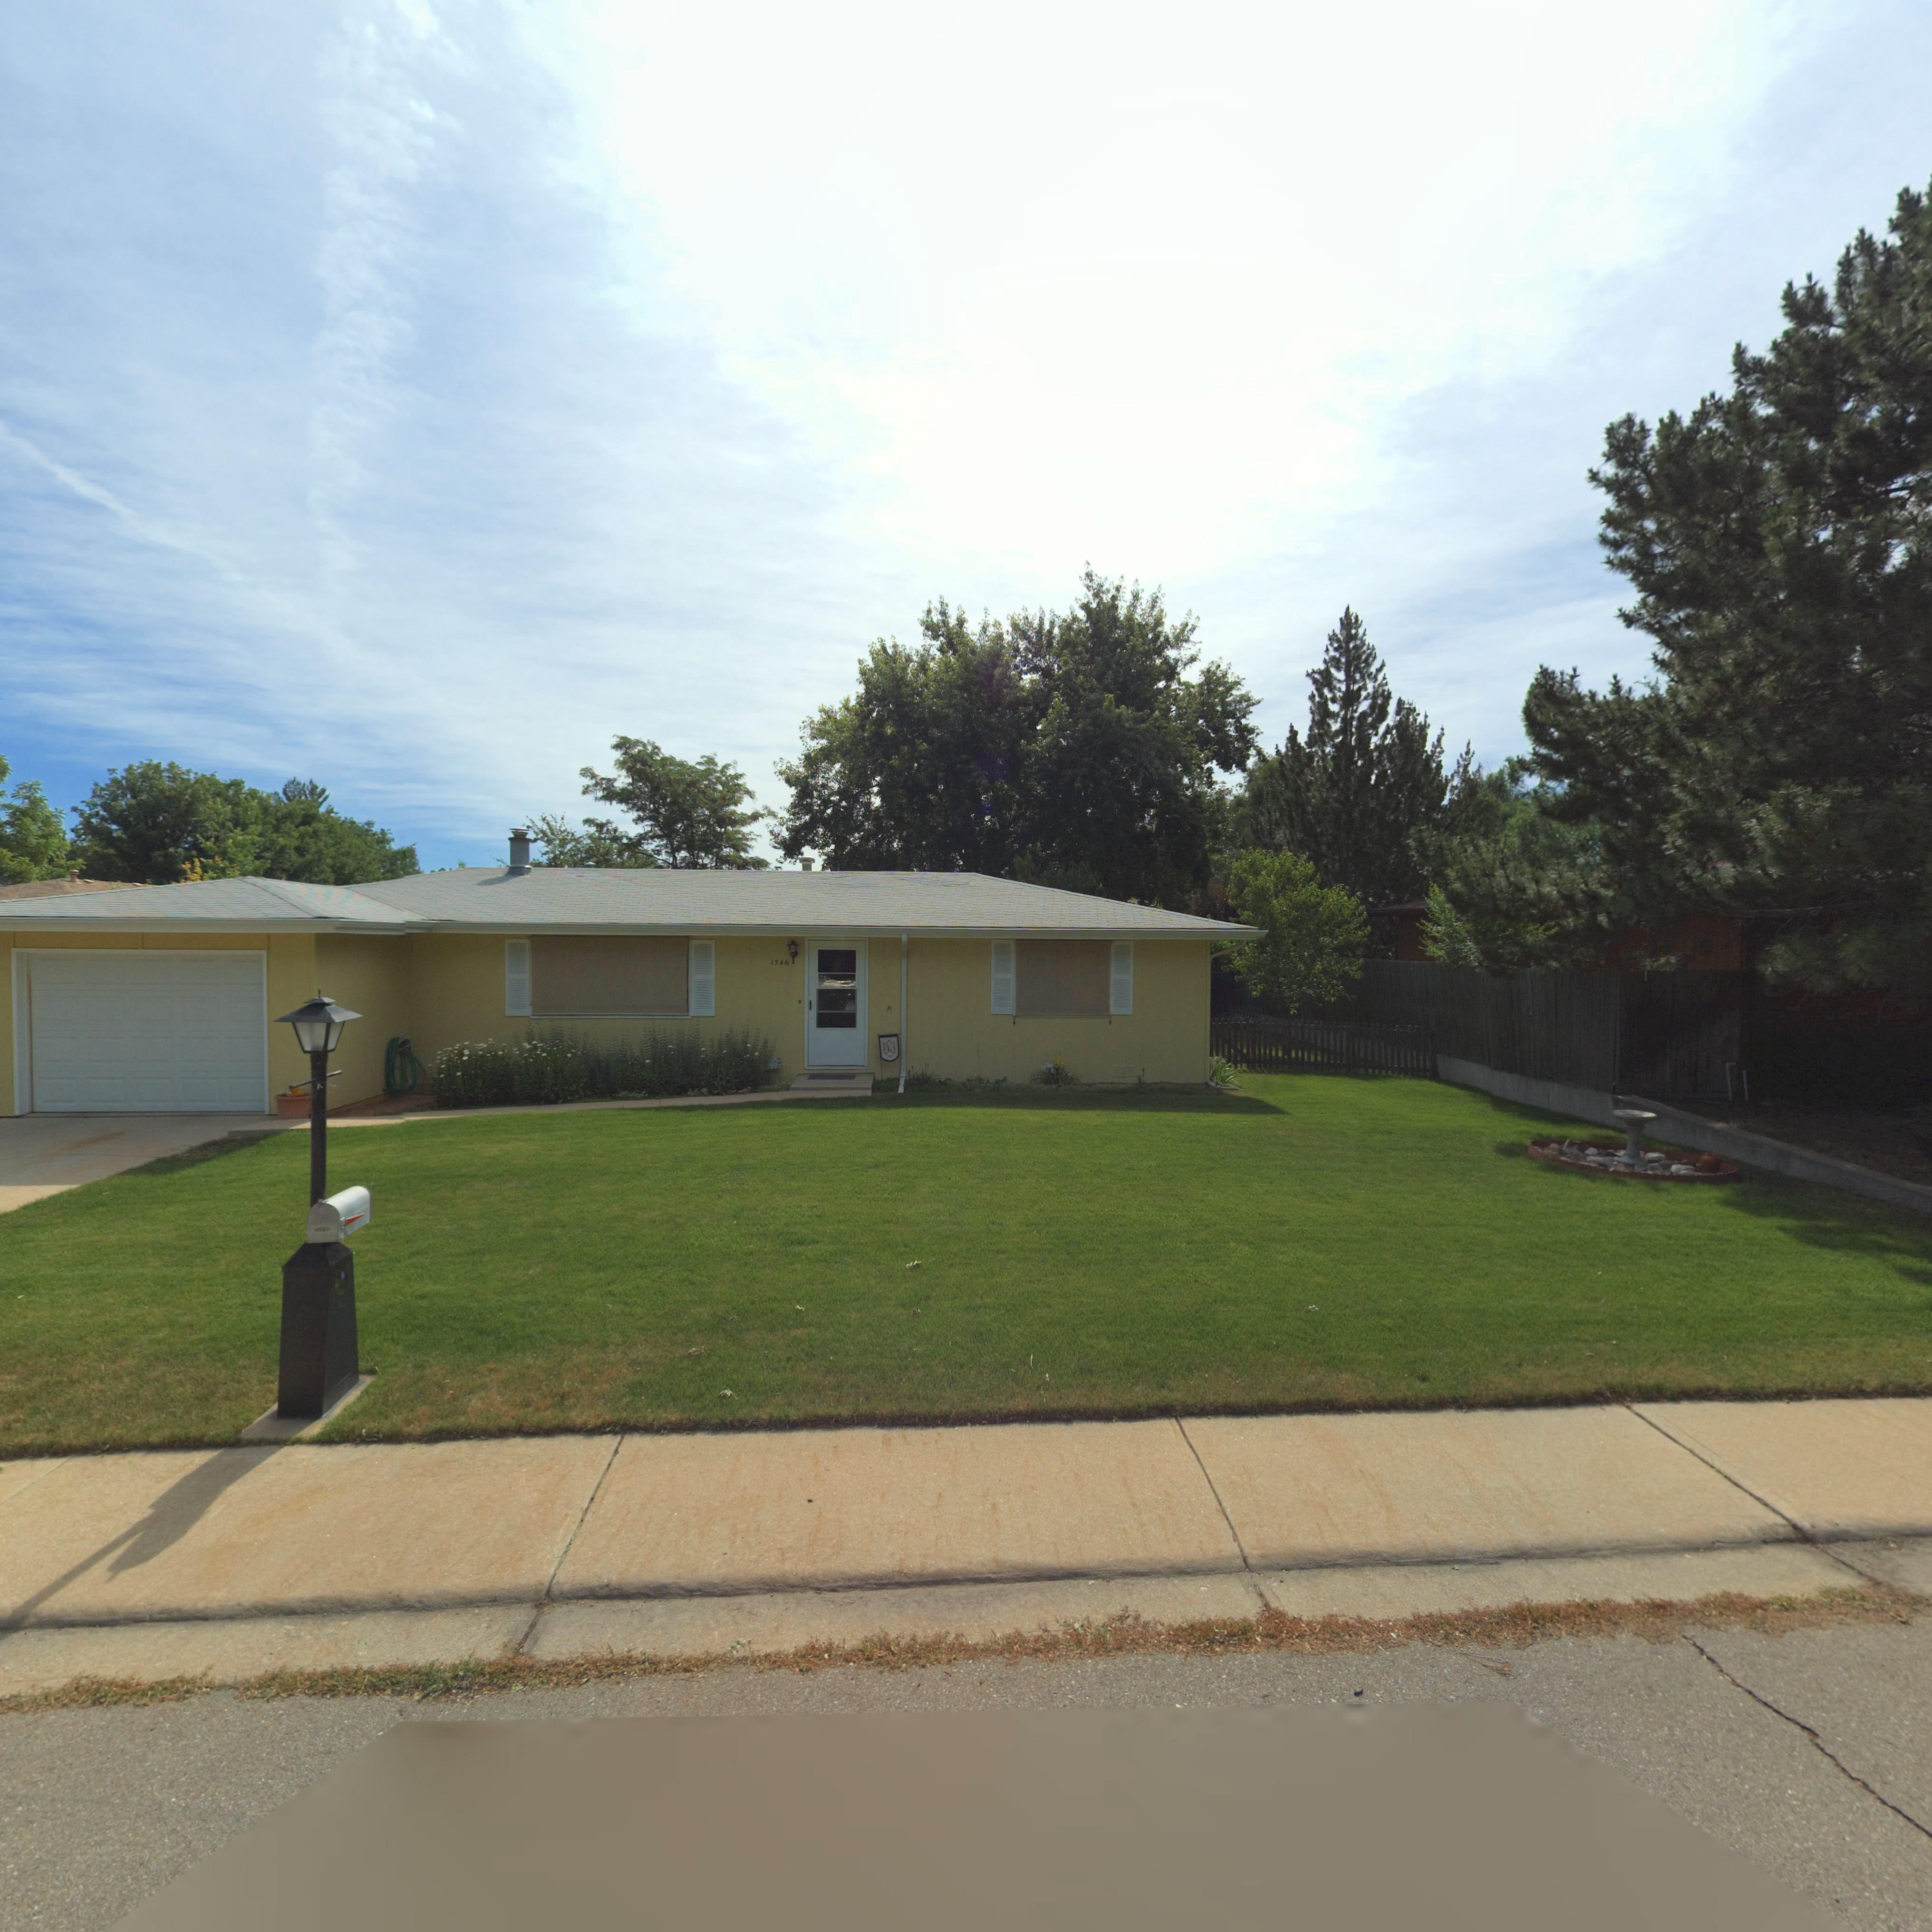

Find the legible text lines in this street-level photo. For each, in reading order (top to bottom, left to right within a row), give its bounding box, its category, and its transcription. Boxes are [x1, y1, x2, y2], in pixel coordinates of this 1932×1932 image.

[770, 959, 789, 966] StreetNumber: 1546